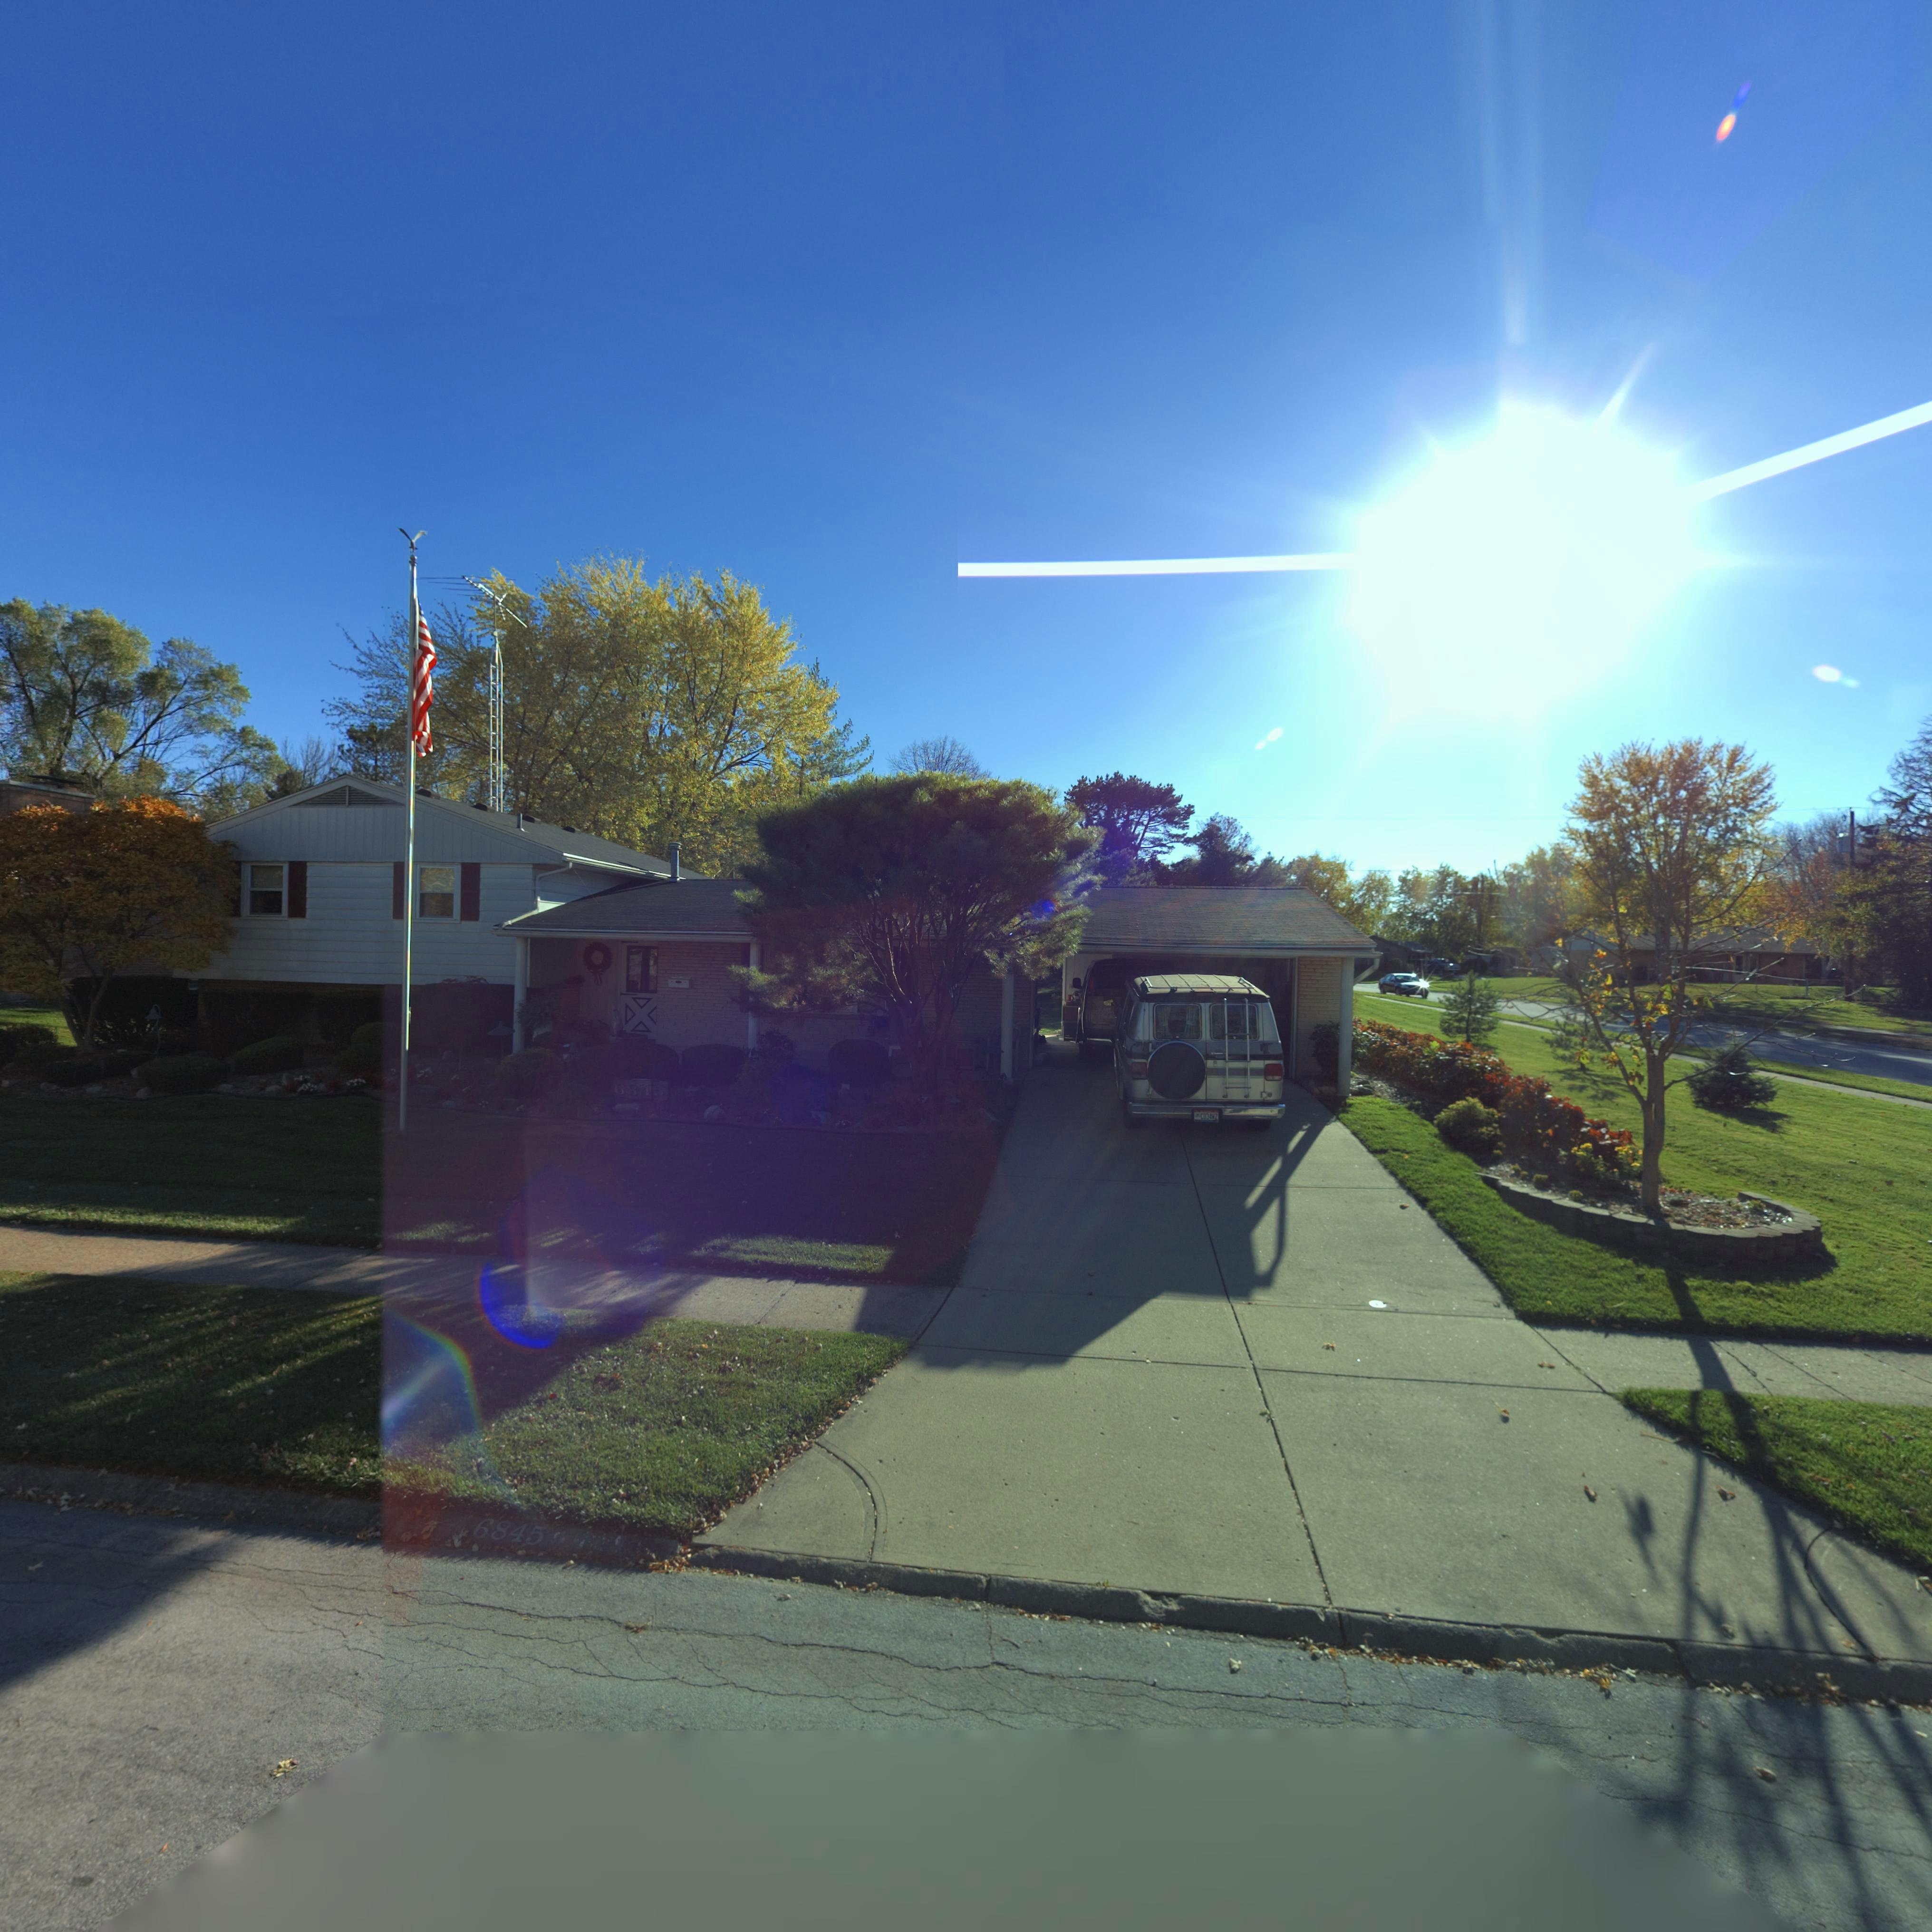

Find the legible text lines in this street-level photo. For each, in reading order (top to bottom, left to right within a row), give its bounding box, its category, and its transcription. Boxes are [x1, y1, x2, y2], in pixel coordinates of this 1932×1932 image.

[614, 1082, 666, 1097] StreetNumber: 6845
[471, 1517, 550, 1548] StreetNumber: 6845